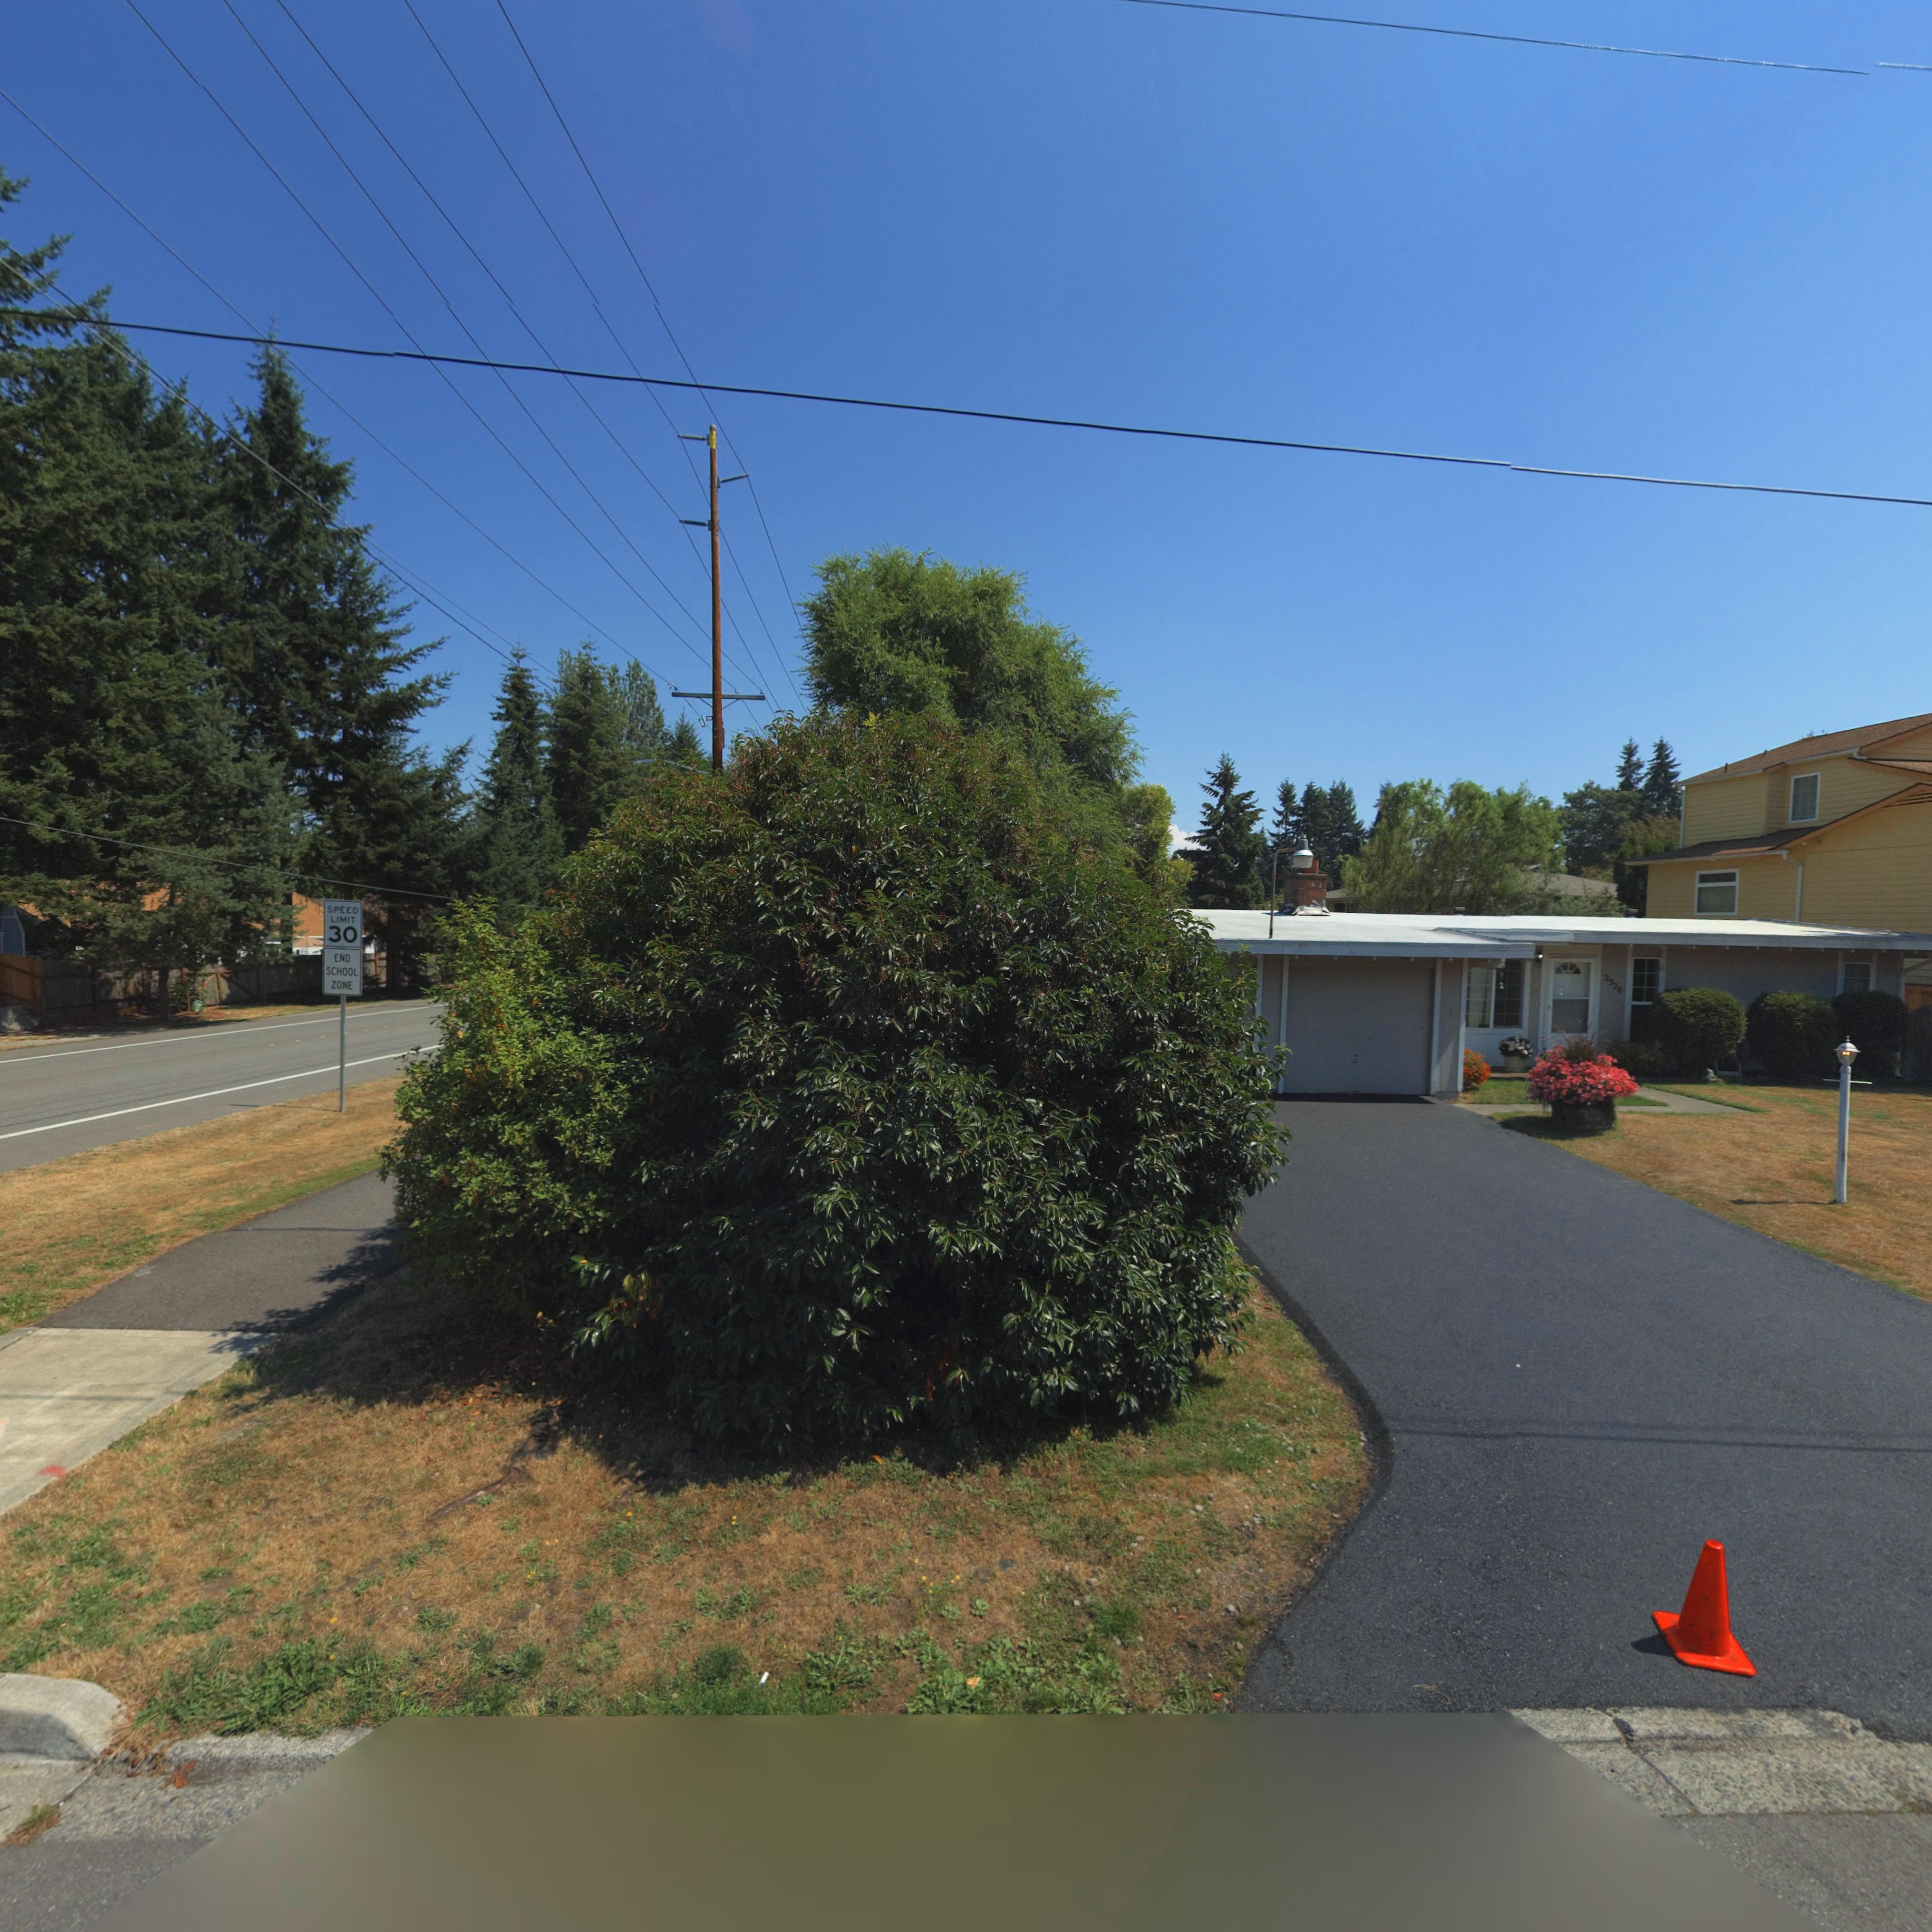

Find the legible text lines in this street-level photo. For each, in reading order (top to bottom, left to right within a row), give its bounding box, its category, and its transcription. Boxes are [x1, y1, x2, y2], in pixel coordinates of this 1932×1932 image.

[1604, 974, 1622, 994] StreetNumber: 2328